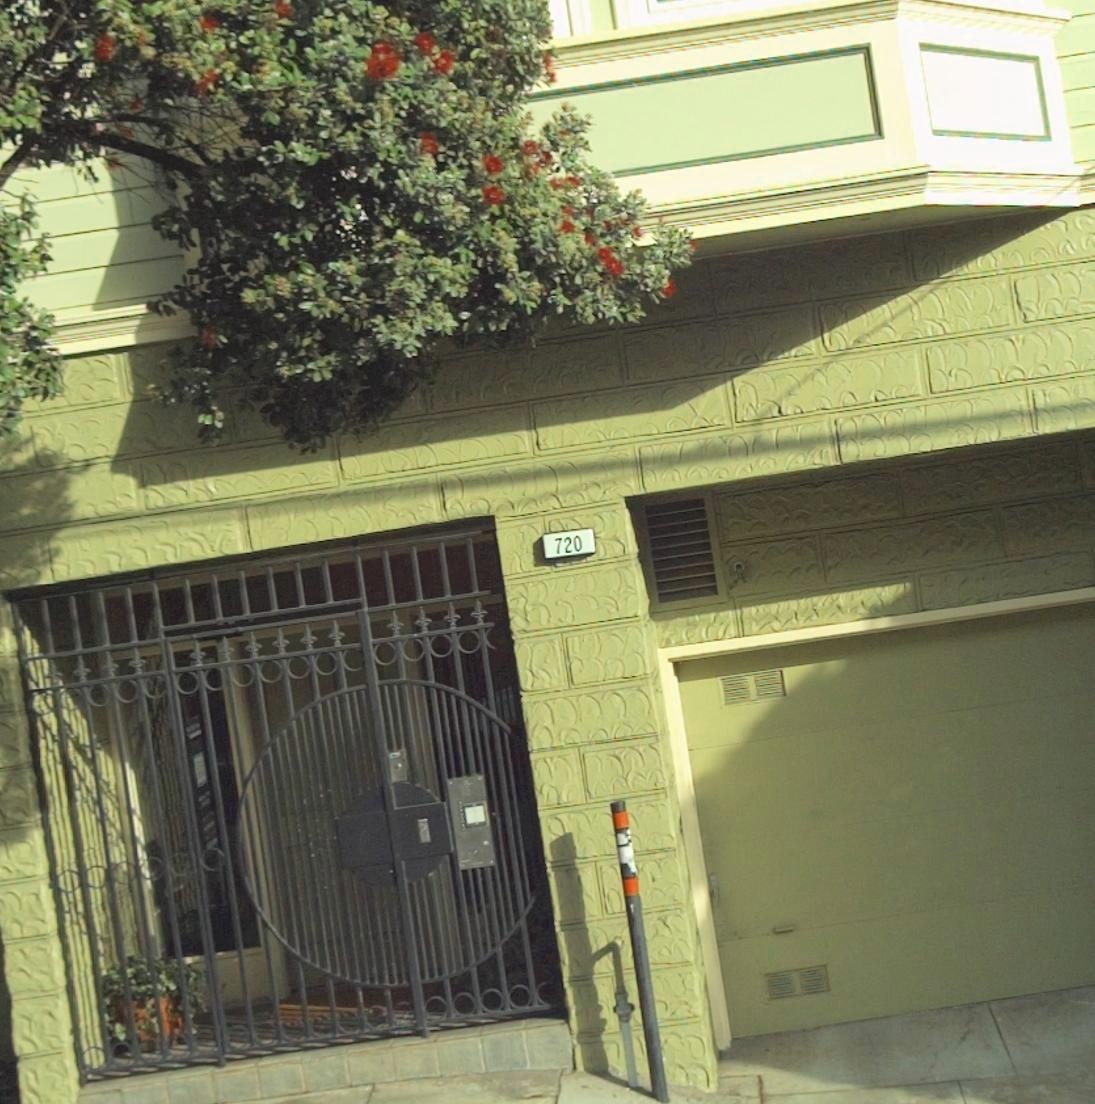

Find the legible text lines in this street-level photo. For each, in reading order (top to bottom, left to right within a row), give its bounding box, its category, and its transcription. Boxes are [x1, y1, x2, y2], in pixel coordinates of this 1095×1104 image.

[551, 533, 585, 557] StreetNumber: 720